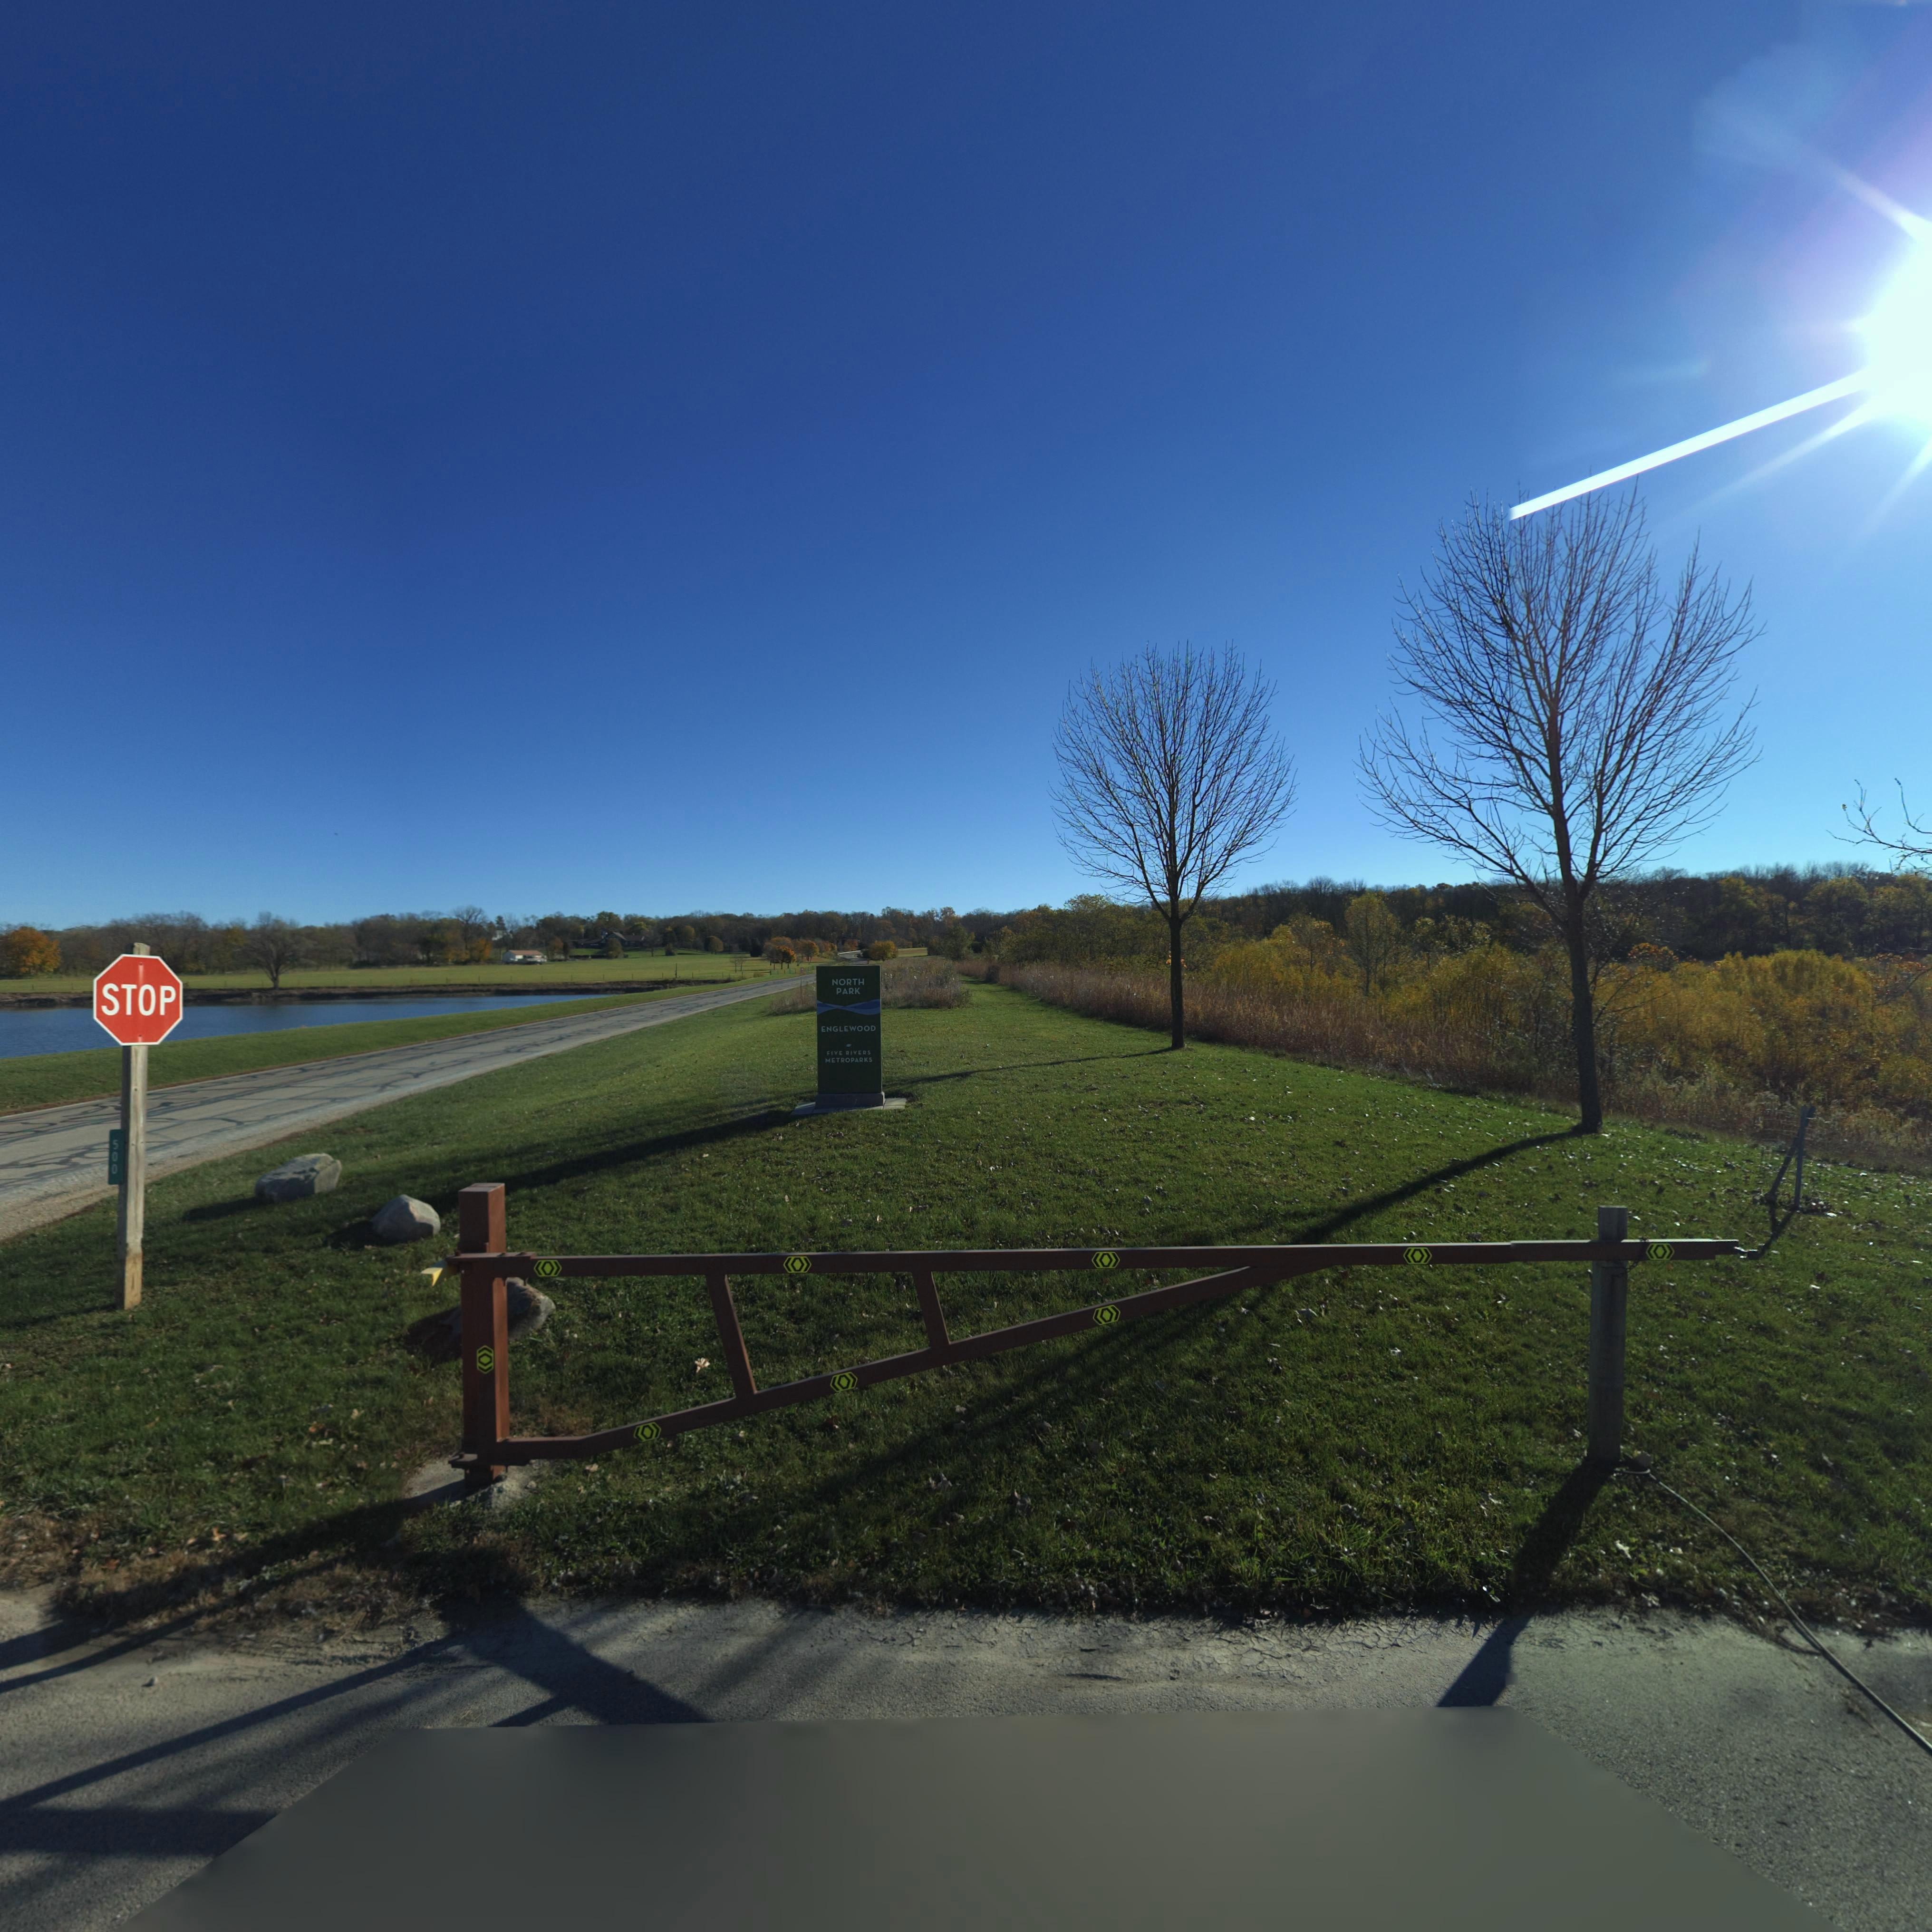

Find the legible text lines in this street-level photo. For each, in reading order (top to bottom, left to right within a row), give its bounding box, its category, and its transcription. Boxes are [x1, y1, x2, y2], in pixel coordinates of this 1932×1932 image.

[830, 978, 866, 986] None: NORTH
[833, 986, 862, 995] None: PARK
[98, 983, 180, 1017] None: STOP
[820, 1024, 876, 1032] None: ENGLEWOOD
[824, 1048, 871, 1056] None: RIVE RIVERS
[823, 1056, 874, 1063] None: METROPARKS
[111, 1138, 119, 1175] StreetNumber: 500